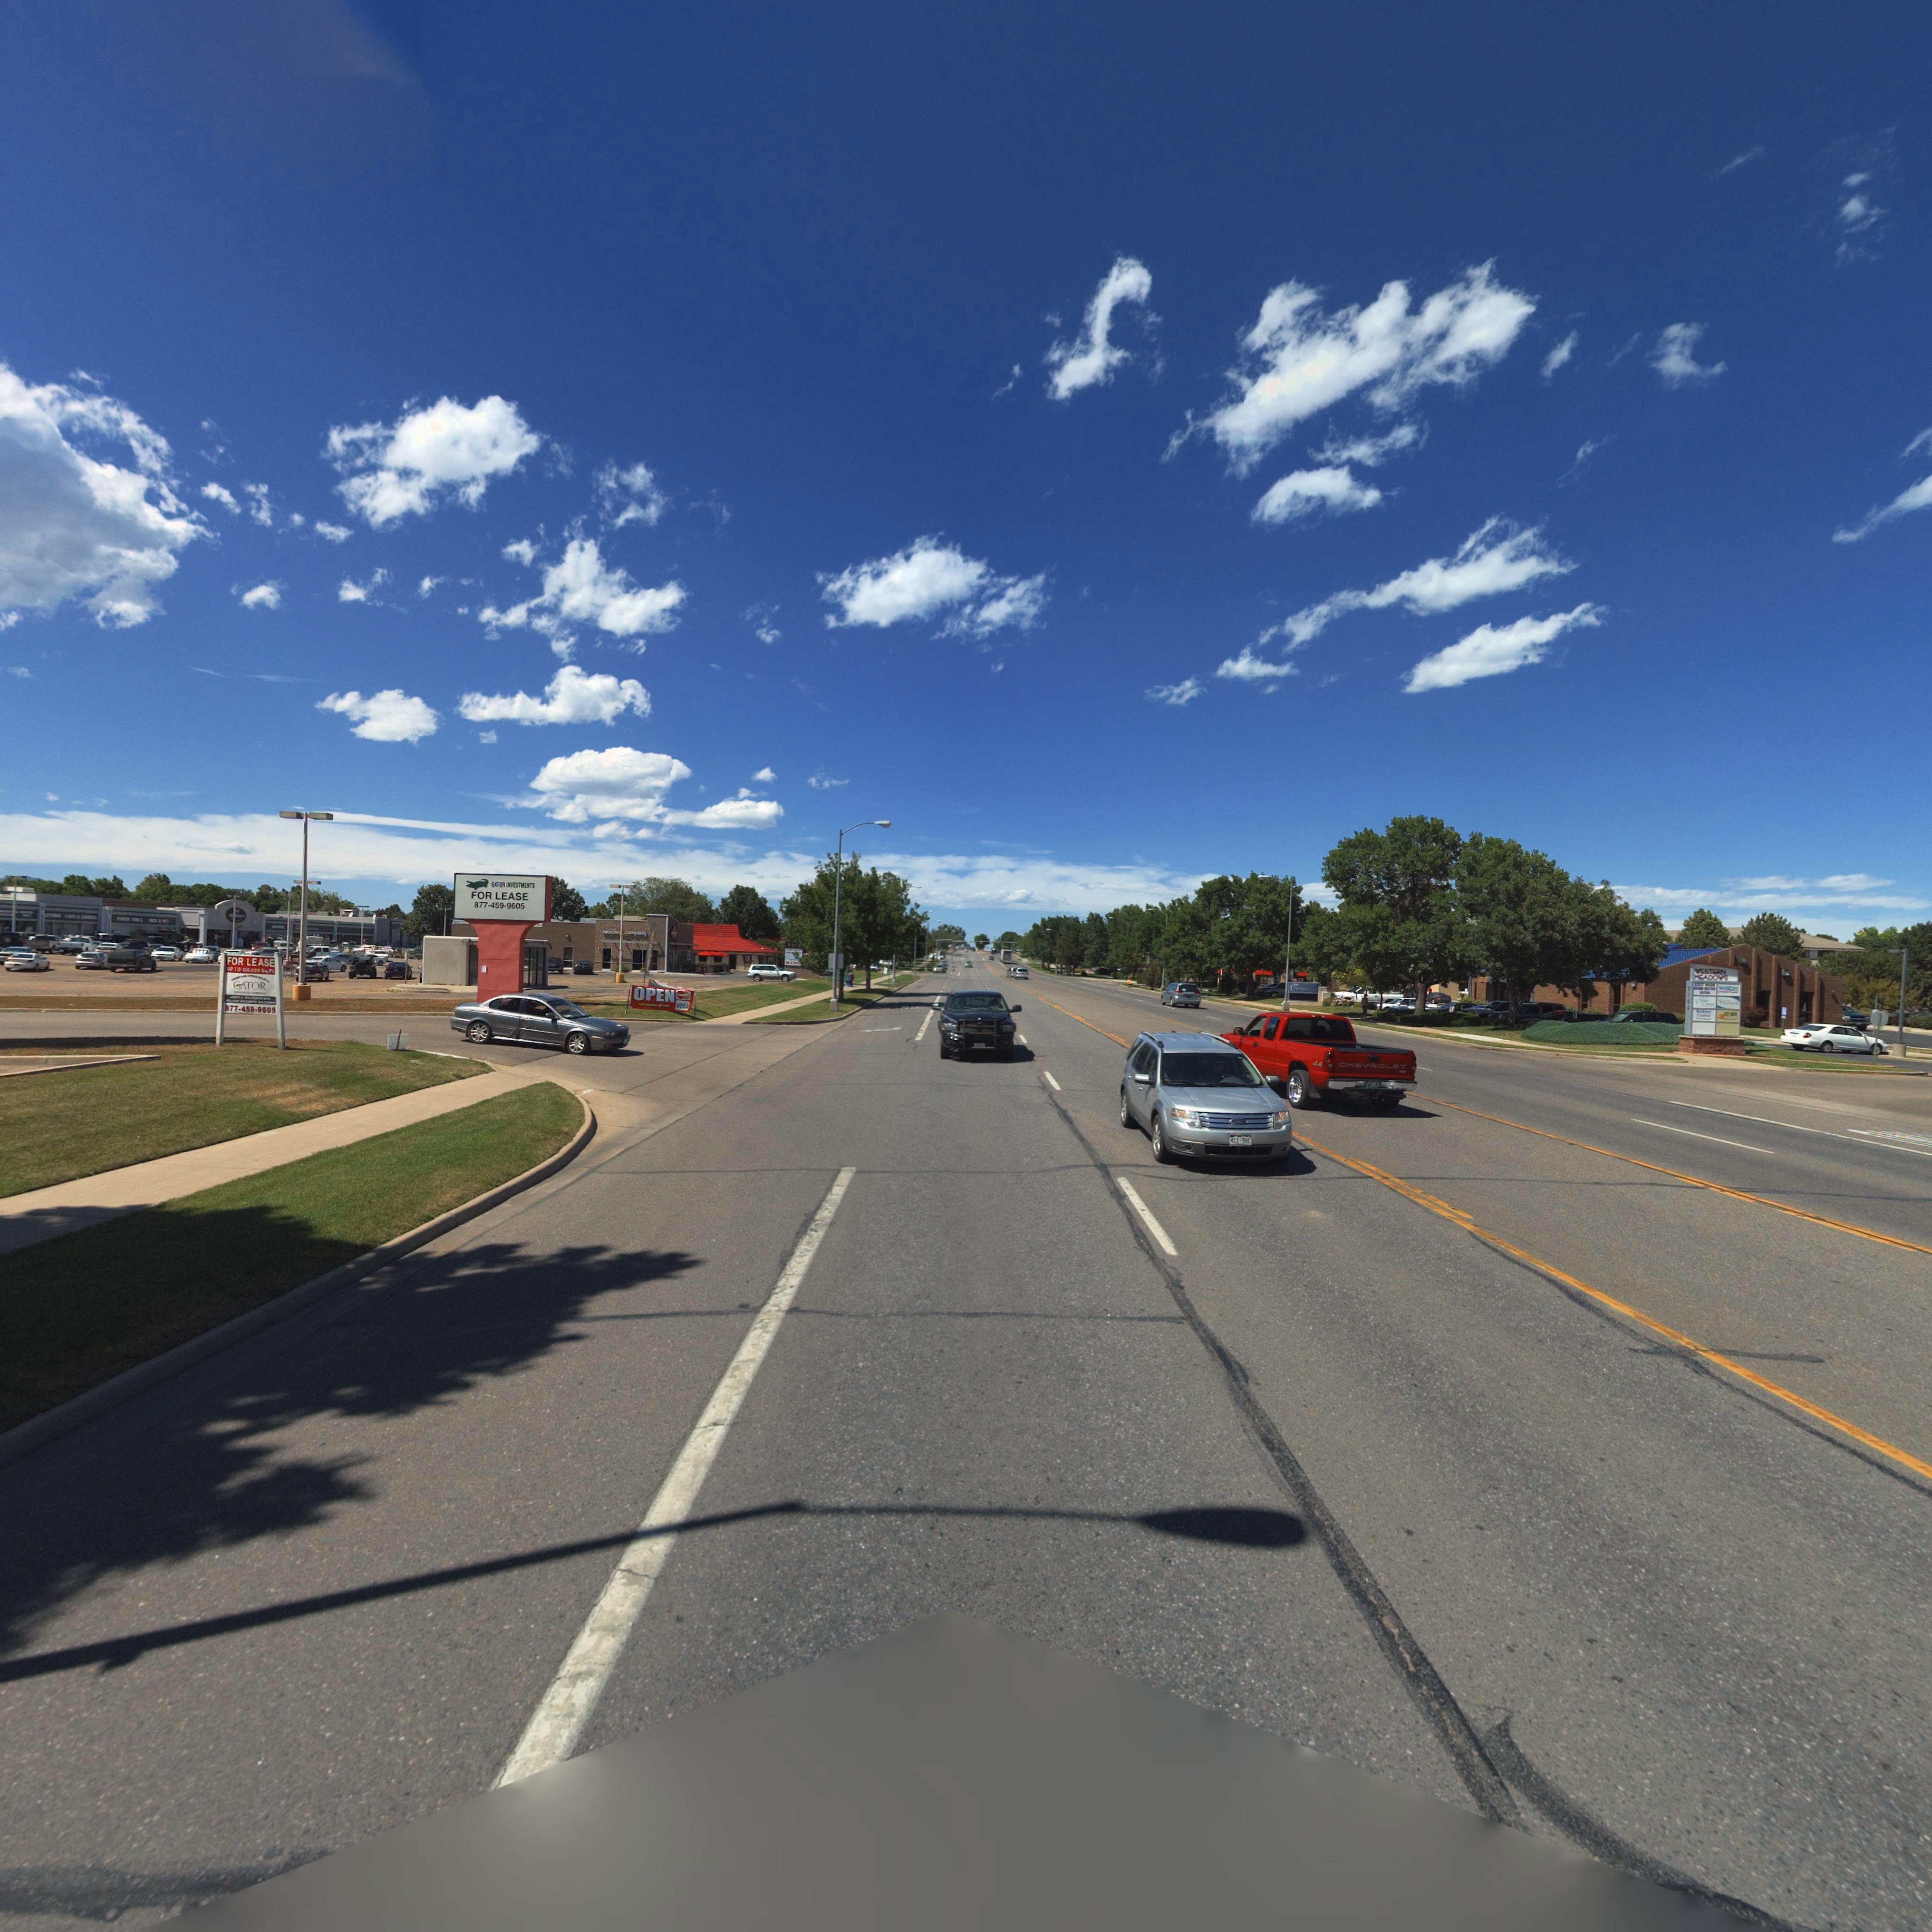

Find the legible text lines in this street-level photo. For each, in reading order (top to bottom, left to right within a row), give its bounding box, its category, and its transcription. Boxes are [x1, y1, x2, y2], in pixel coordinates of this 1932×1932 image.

[602, 928, 647, 937] BusinessName: noodle**company
[785, 961, 800, 964] BusinessName: *IN*
[1686, 985, 1690, 1011] StreetNumber: 2*44